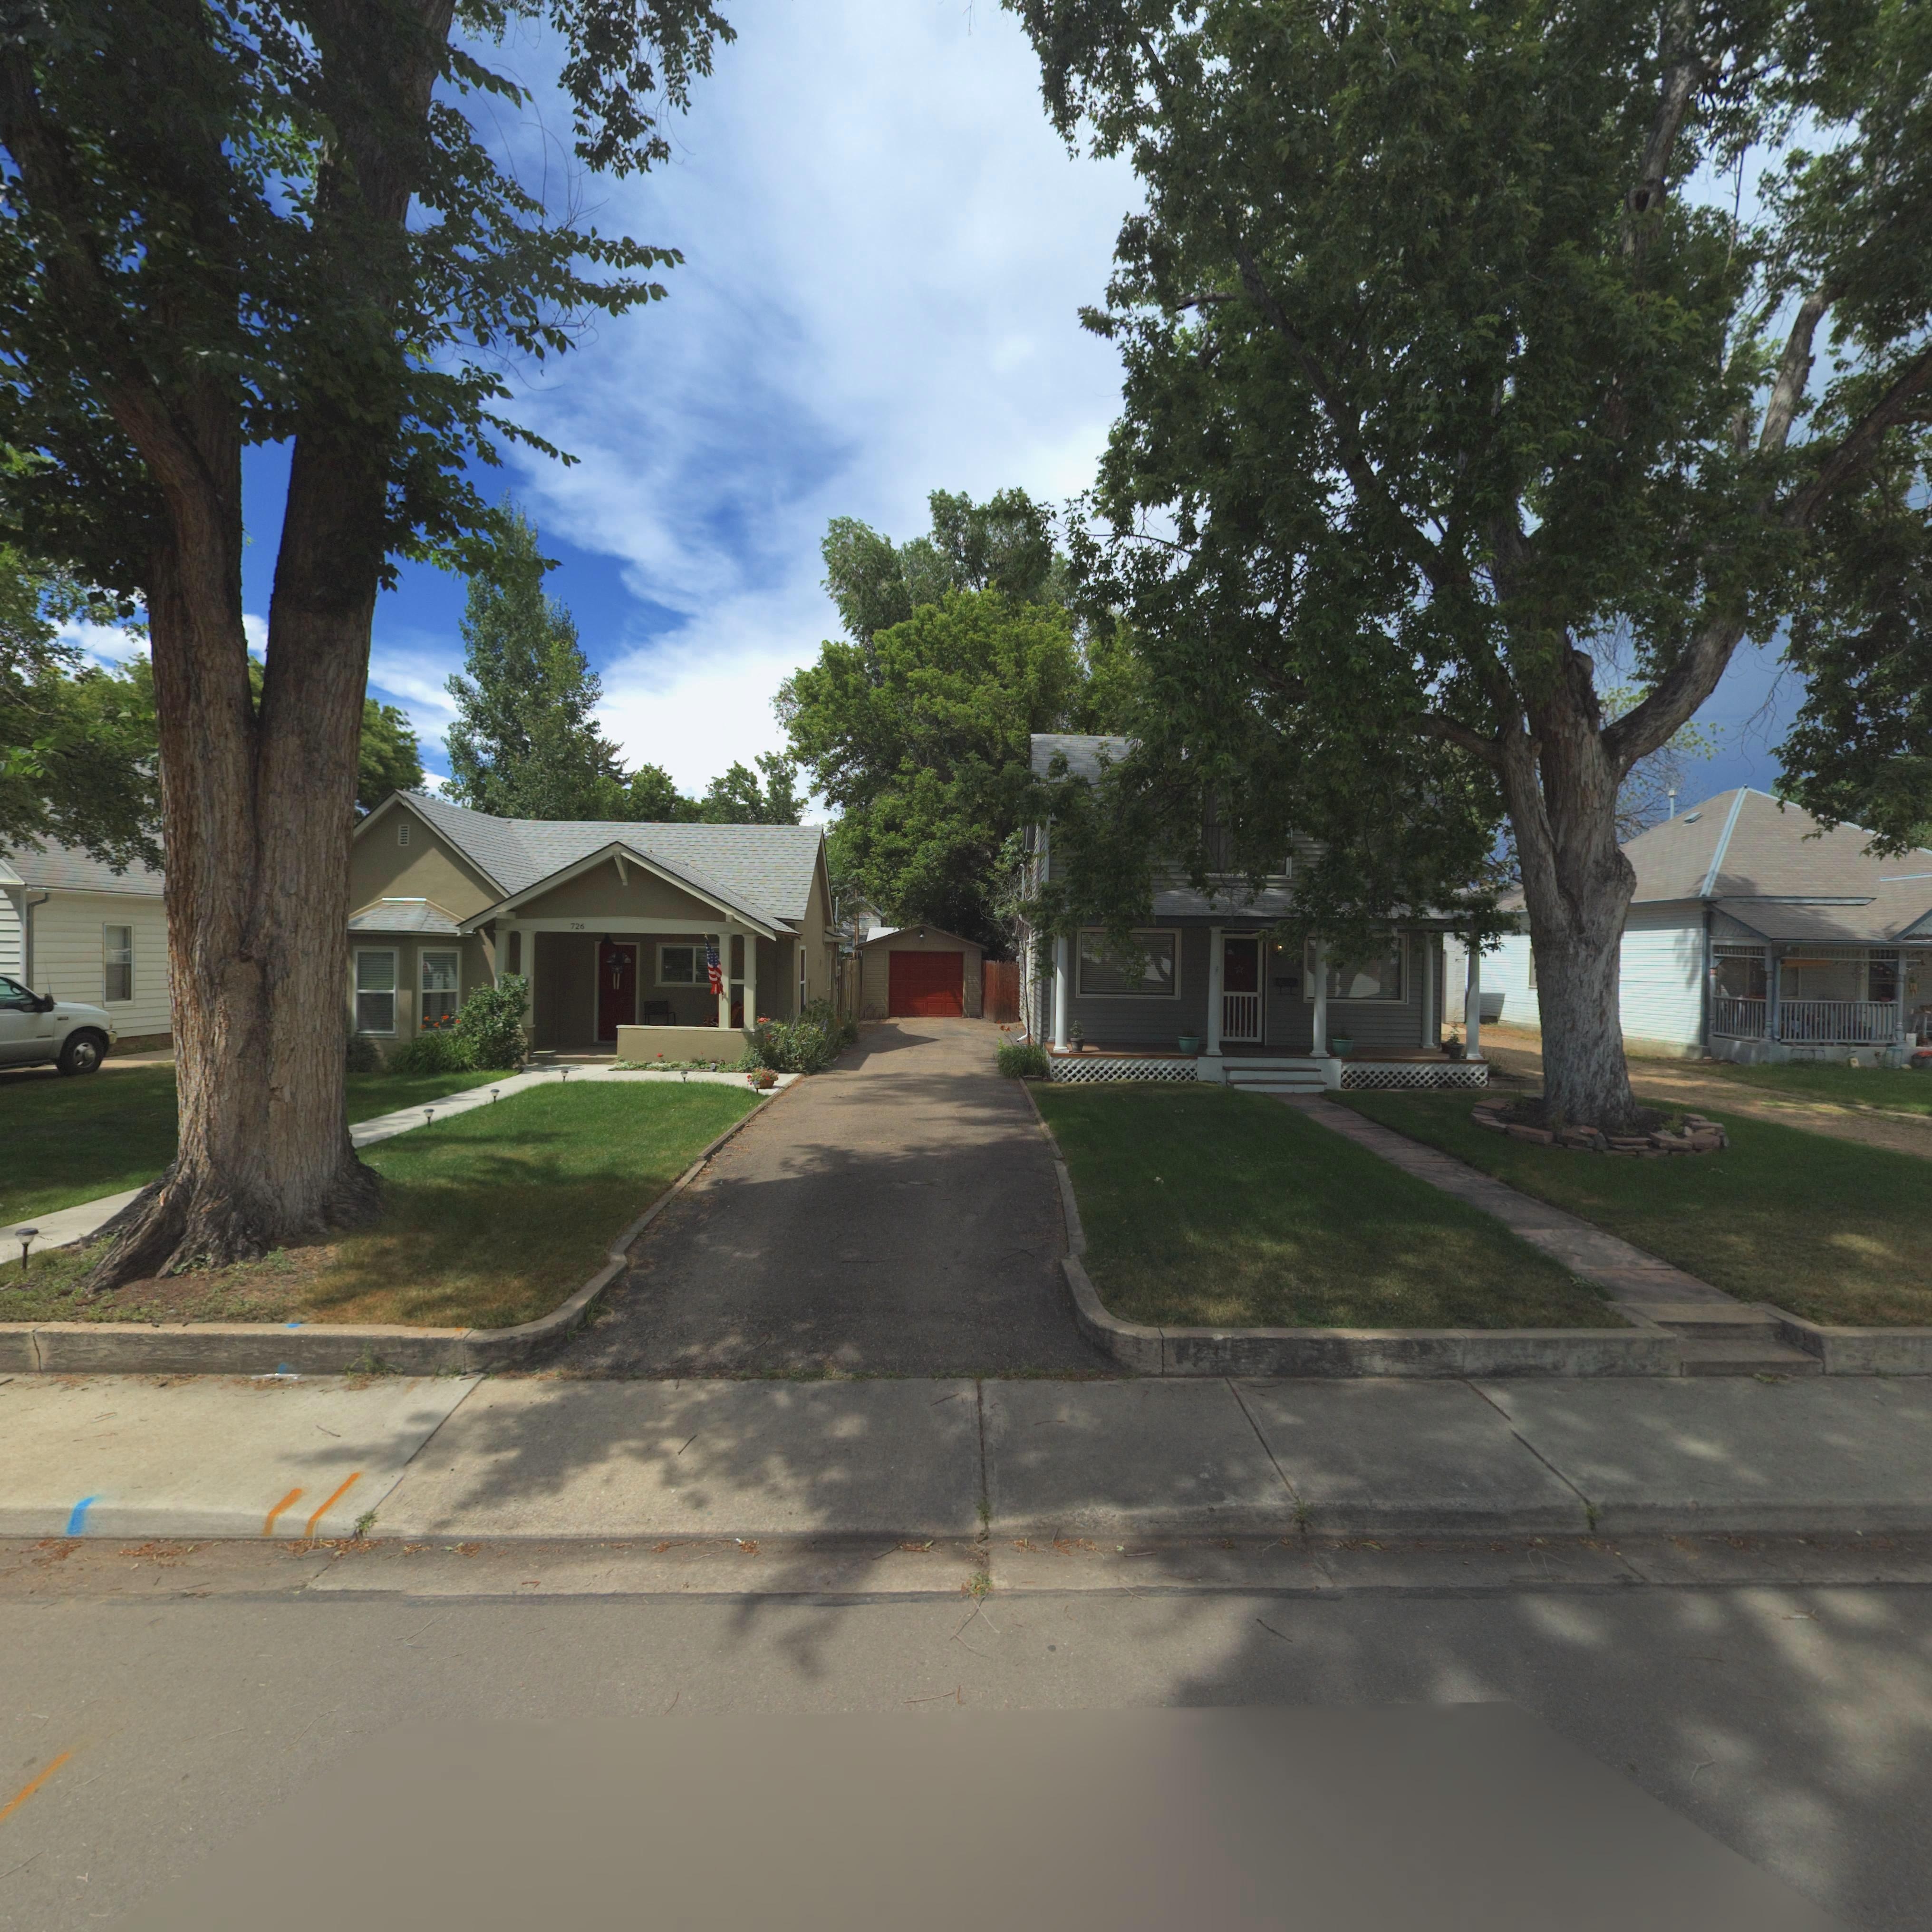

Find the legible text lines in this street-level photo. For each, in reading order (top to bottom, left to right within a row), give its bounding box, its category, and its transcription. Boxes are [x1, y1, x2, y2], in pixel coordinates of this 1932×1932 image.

[569, 921, 585, 930] StreetNumber: 726